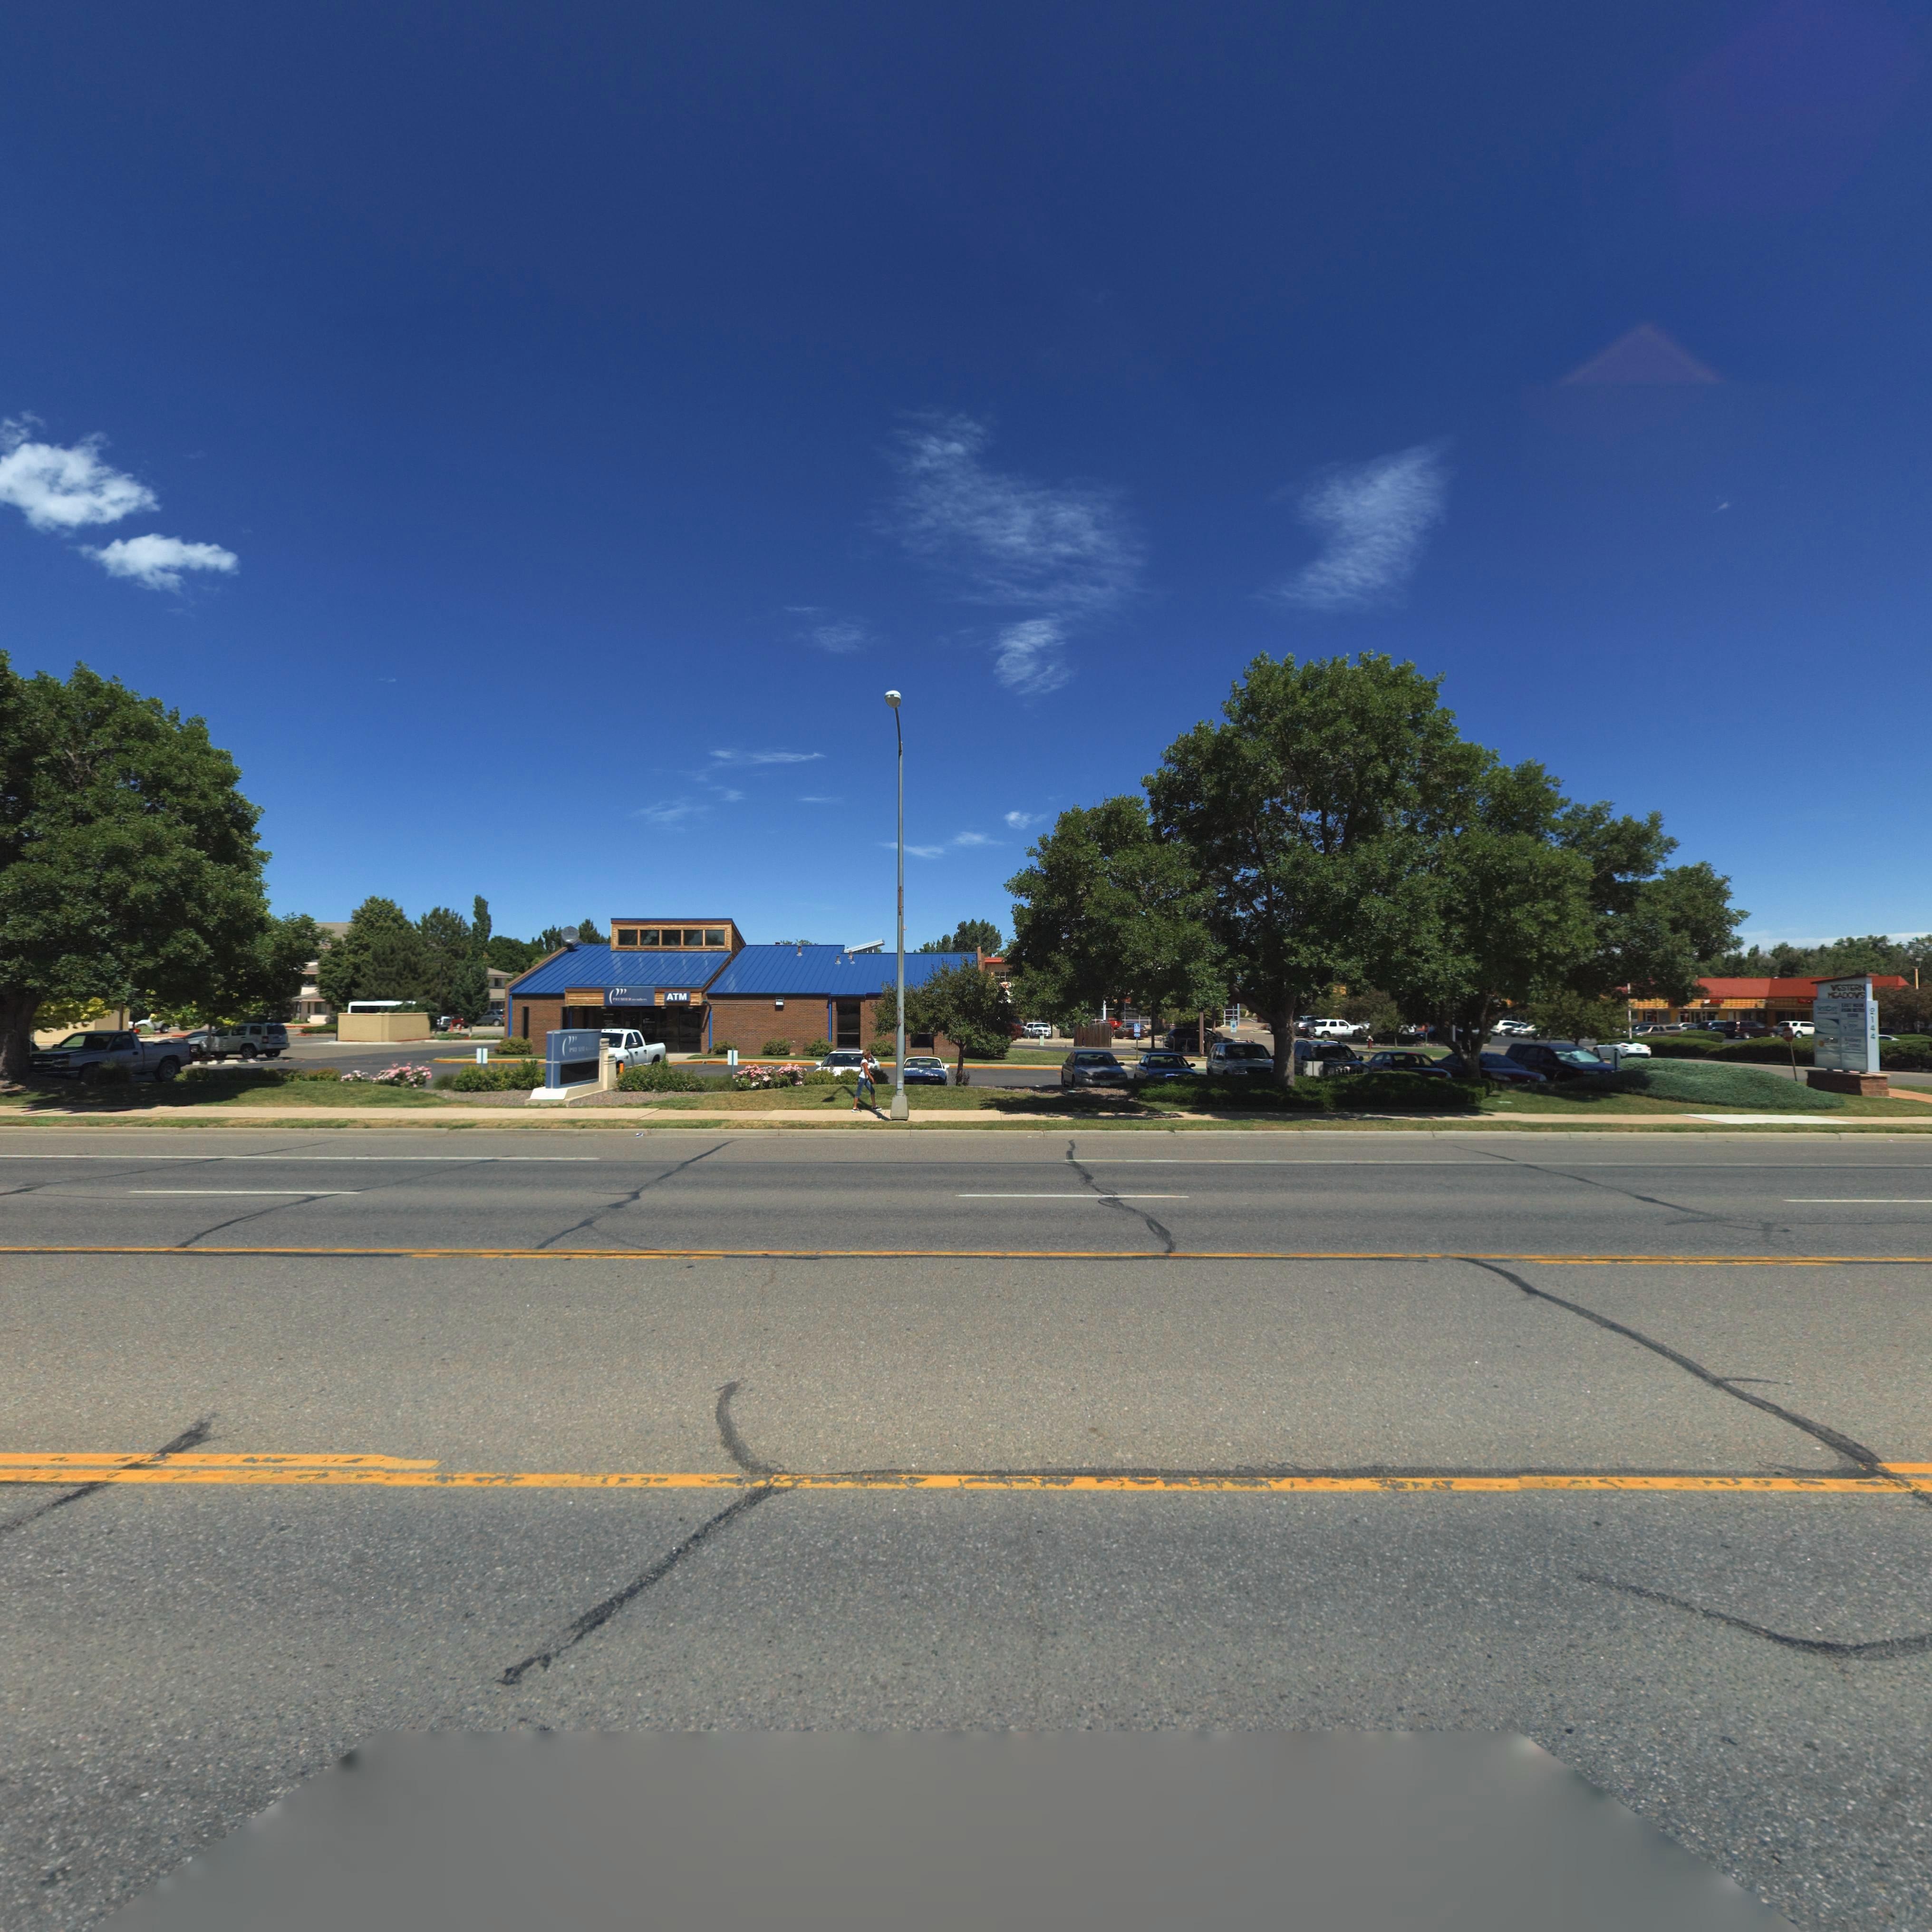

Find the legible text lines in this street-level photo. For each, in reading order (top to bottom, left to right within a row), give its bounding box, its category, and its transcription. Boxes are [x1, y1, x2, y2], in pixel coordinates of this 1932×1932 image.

[612, 997, 631, 1000] BusinessName: P*******
[1869, 1007, 1875, 1040] StreetNumber: 2144